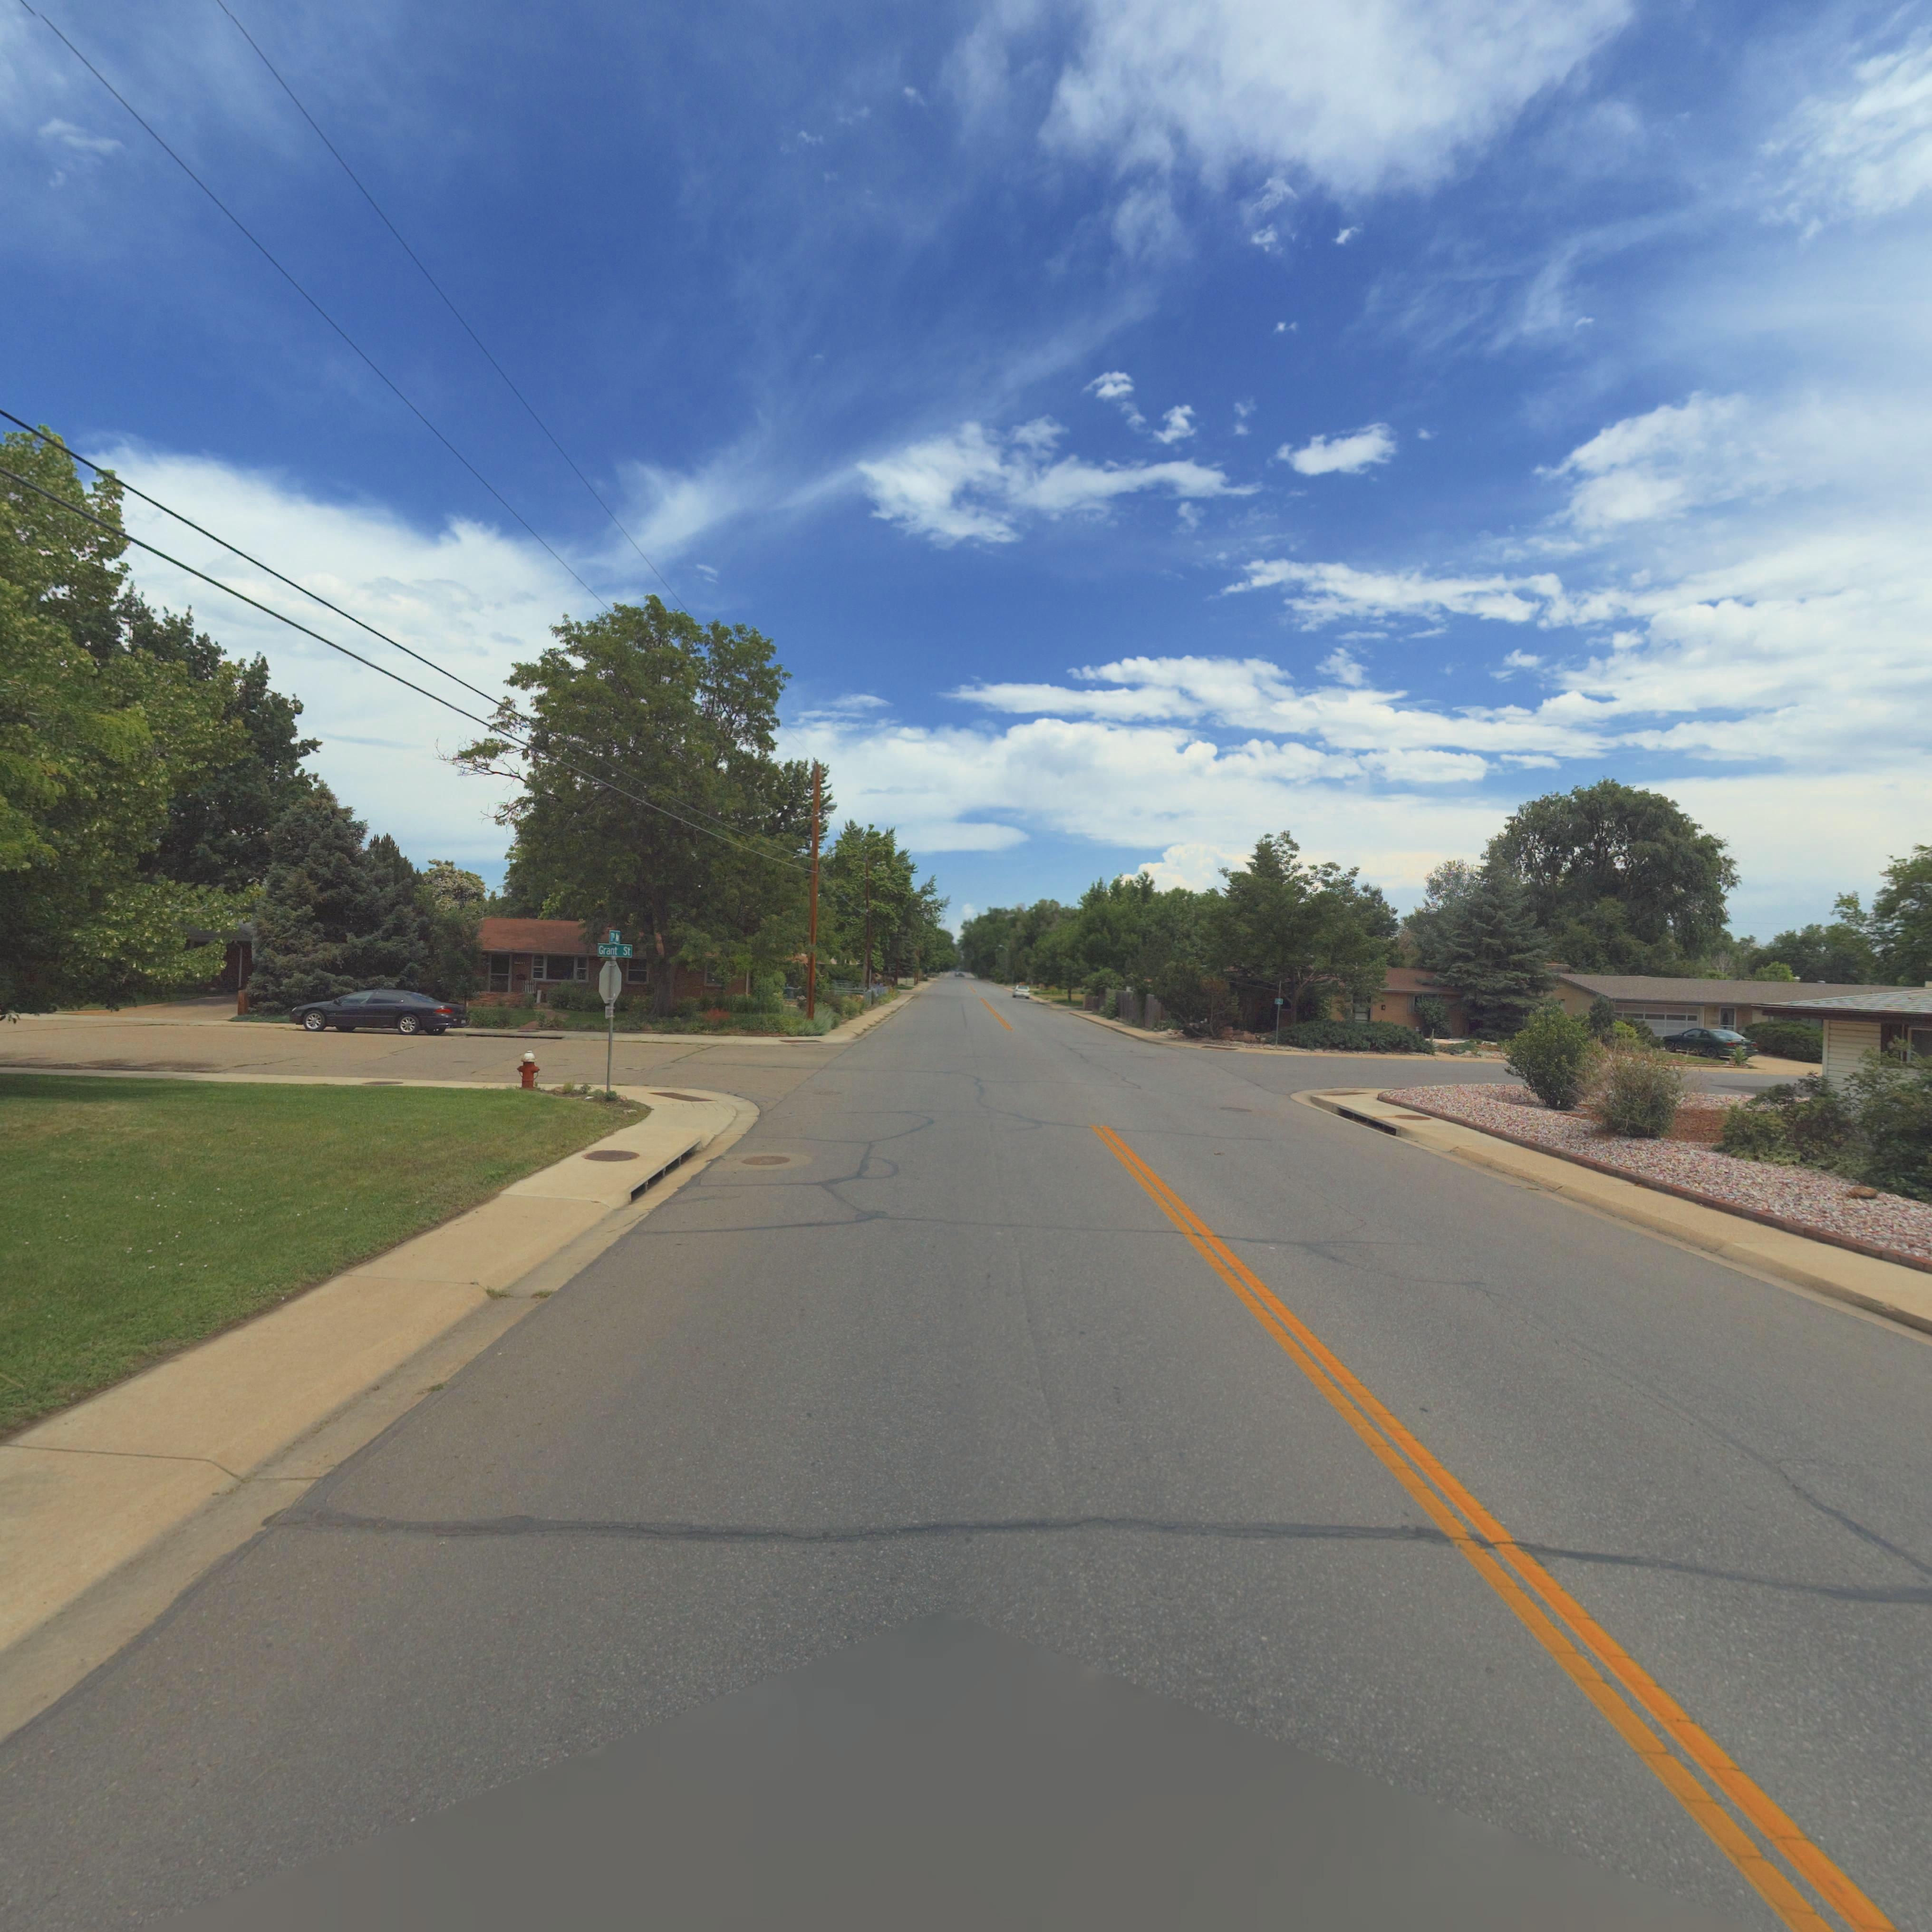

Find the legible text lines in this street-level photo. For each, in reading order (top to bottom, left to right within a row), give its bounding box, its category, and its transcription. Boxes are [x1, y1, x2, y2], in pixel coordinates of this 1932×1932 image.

[609, 932, 619, 942] StreetName: 11th Av
[598, 945, 631, 956] StreetName: Grant St